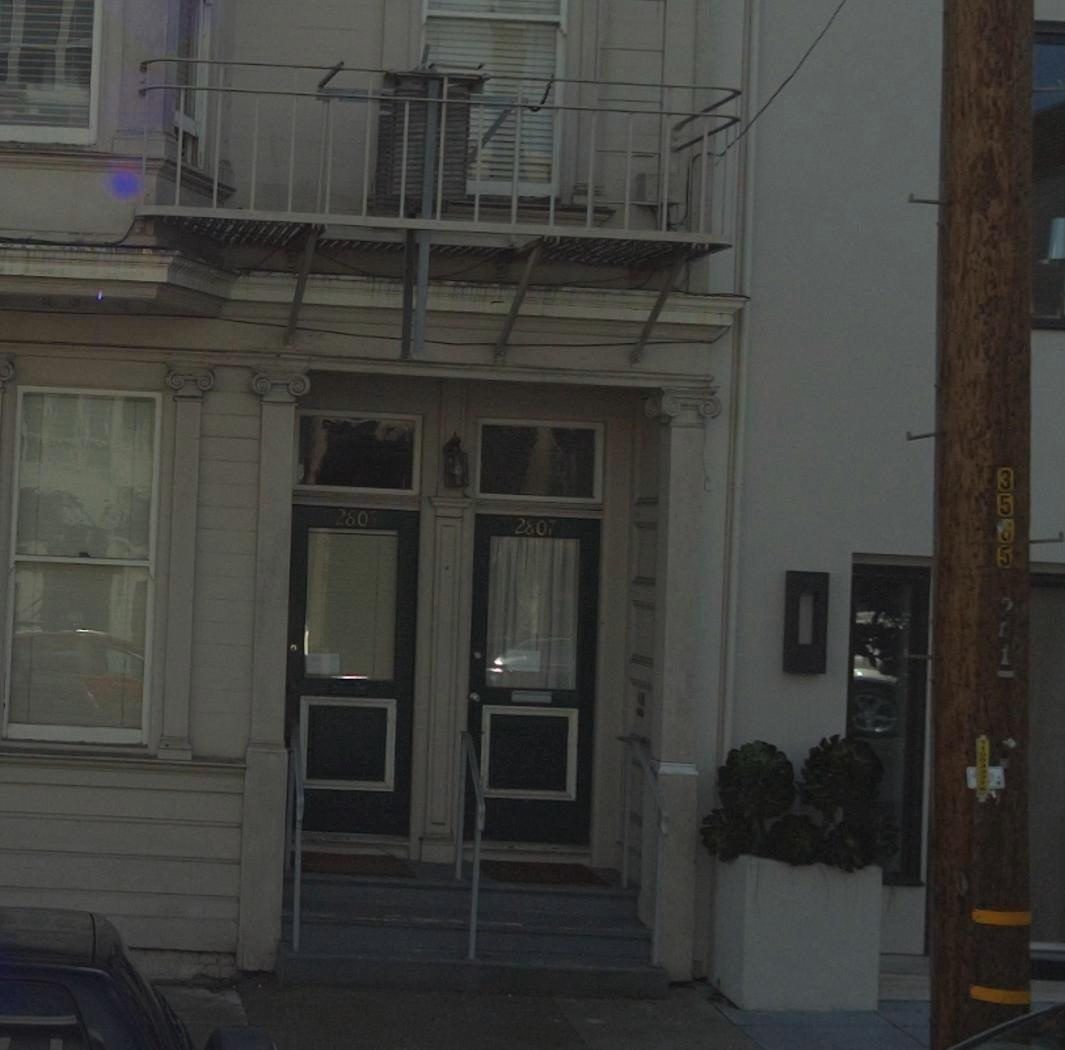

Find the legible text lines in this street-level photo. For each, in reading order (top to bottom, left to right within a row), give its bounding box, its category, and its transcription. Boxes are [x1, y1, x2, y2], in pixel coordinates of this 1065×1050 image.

[330, 506, 380, 530] StreetNumber: 280*
[512, 516, 561, 538] StreetNumber: 2007
[996, 467, 1015, 569] None: 35*5
[997, 639, 1012, 669] None: 1